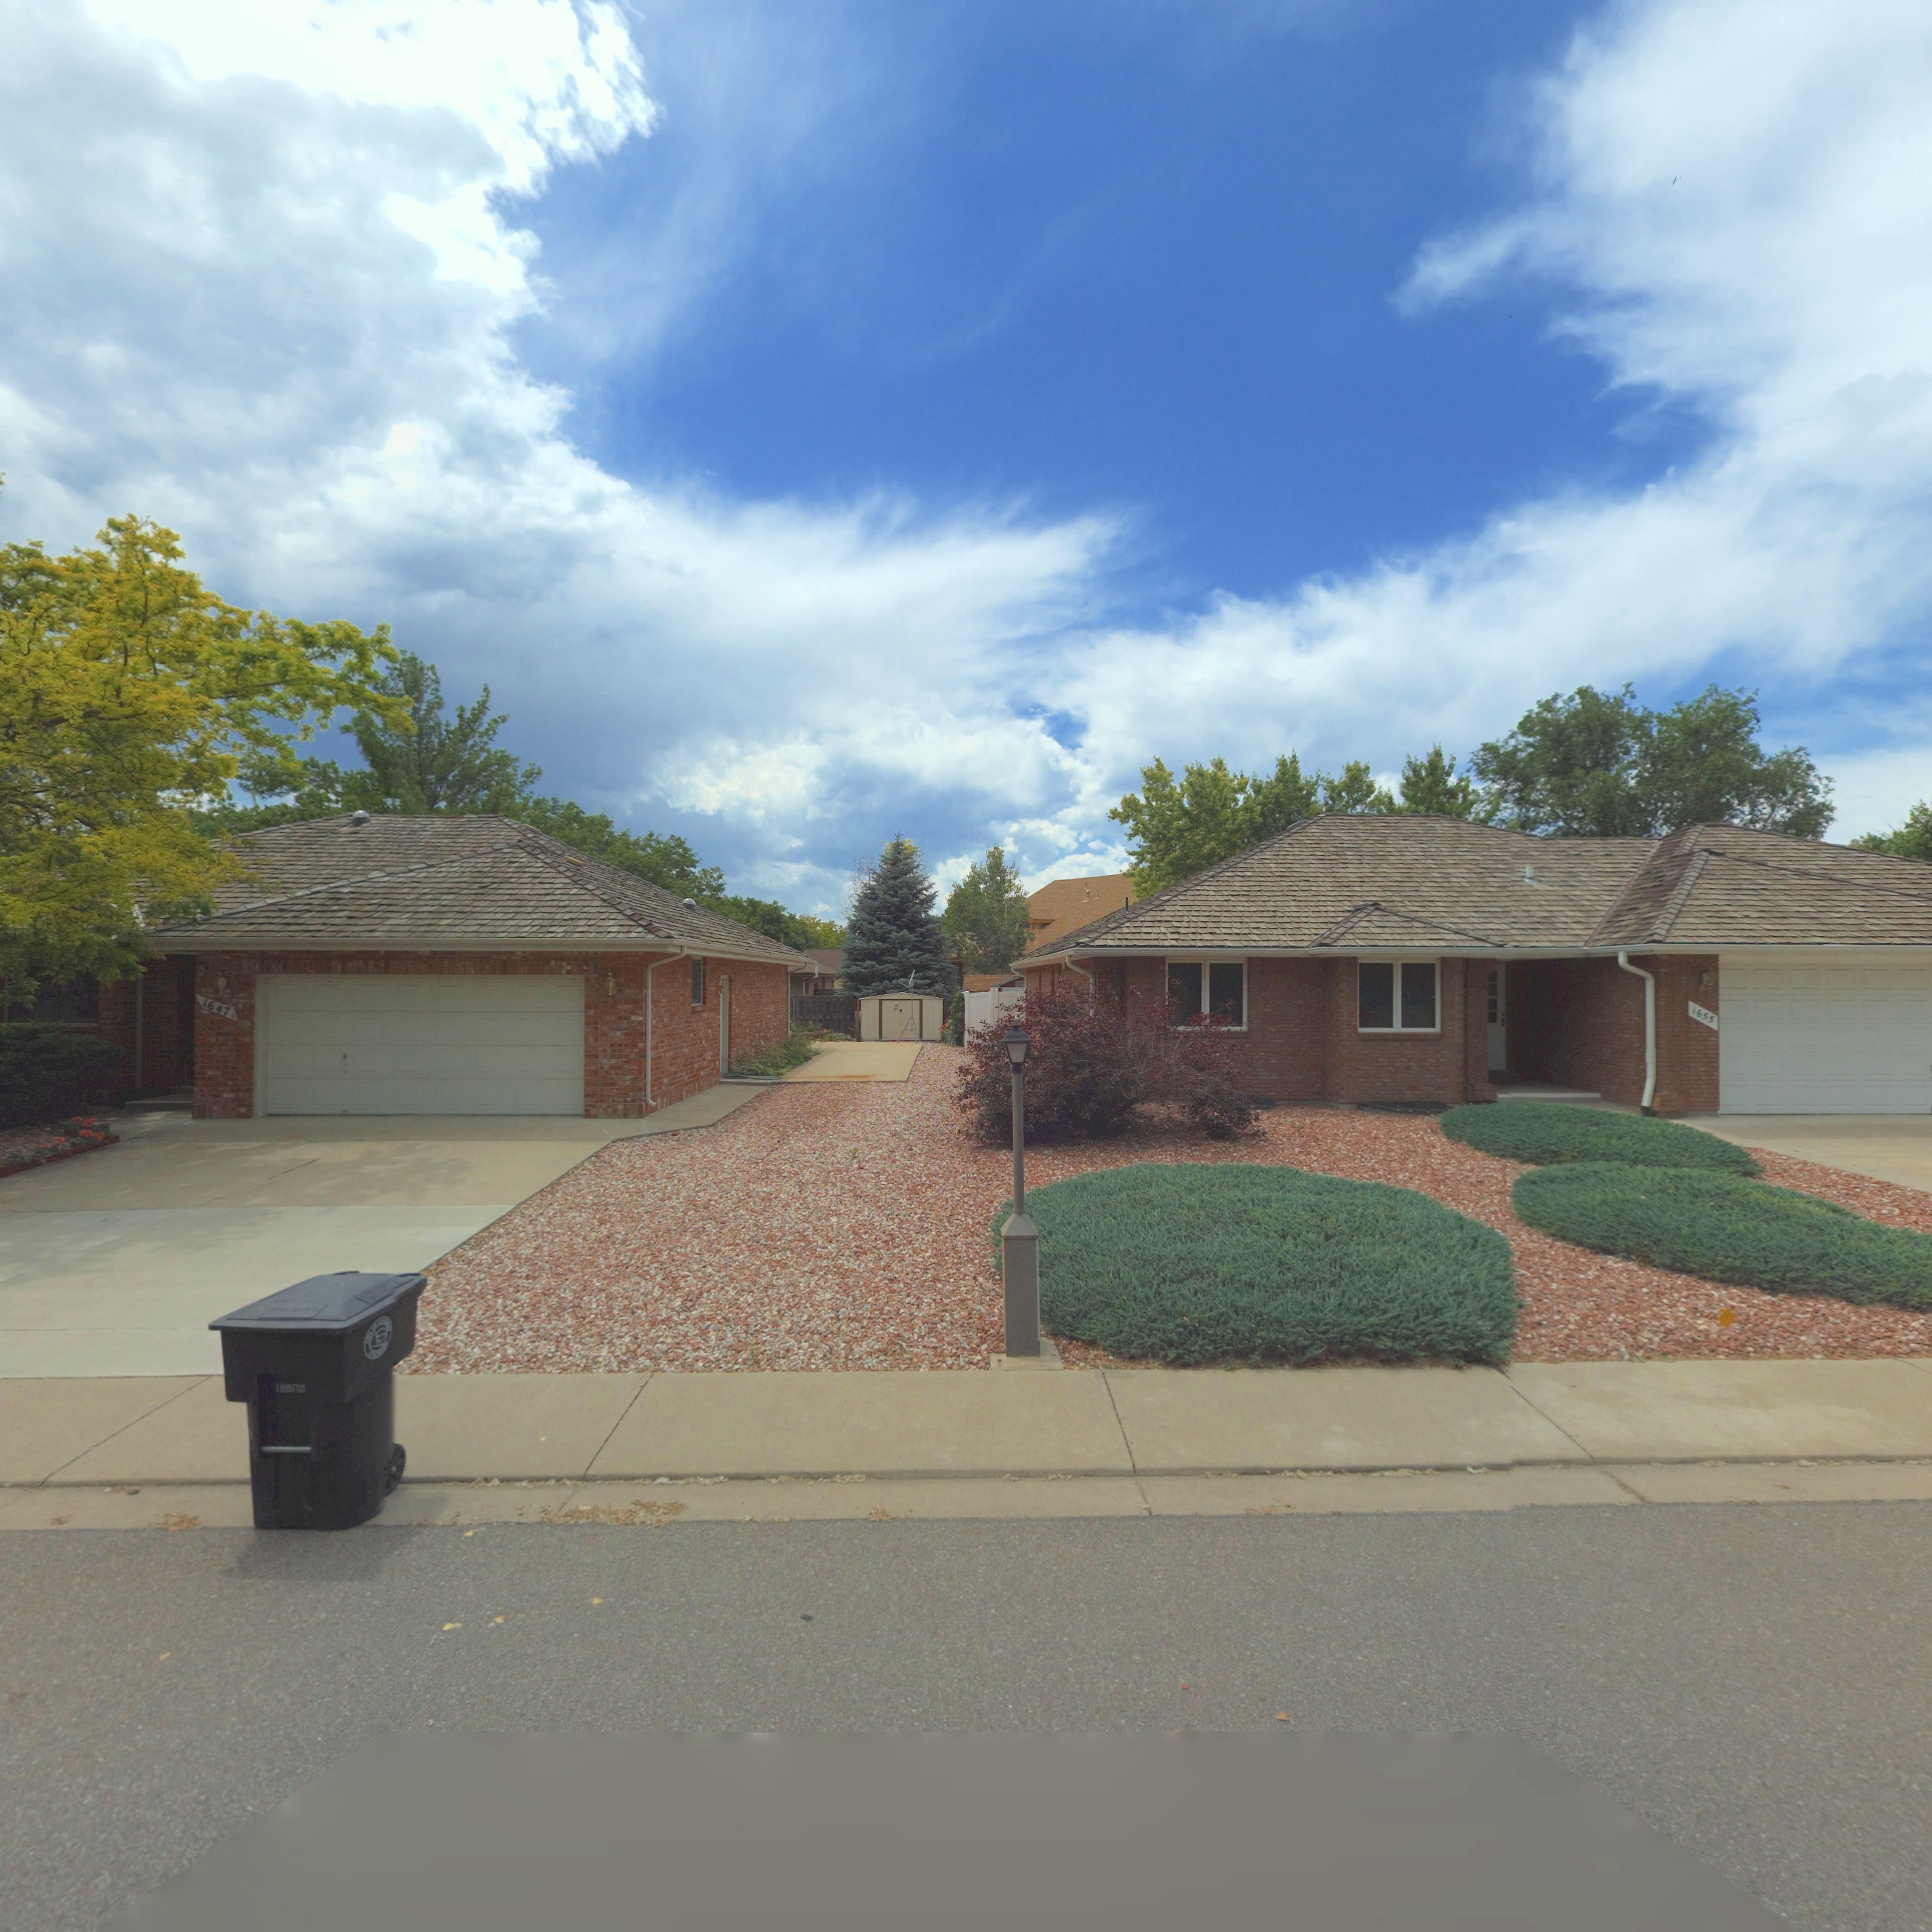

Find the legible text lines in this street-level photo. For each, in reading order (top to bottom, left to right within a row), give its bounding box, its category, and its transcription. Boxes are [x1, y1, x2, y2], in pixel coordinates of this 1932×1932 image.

[202, 997, 230, 1017] StreetNumber: 1647
[1690, 1005, 1715, 1024] StreetNumber: 1655